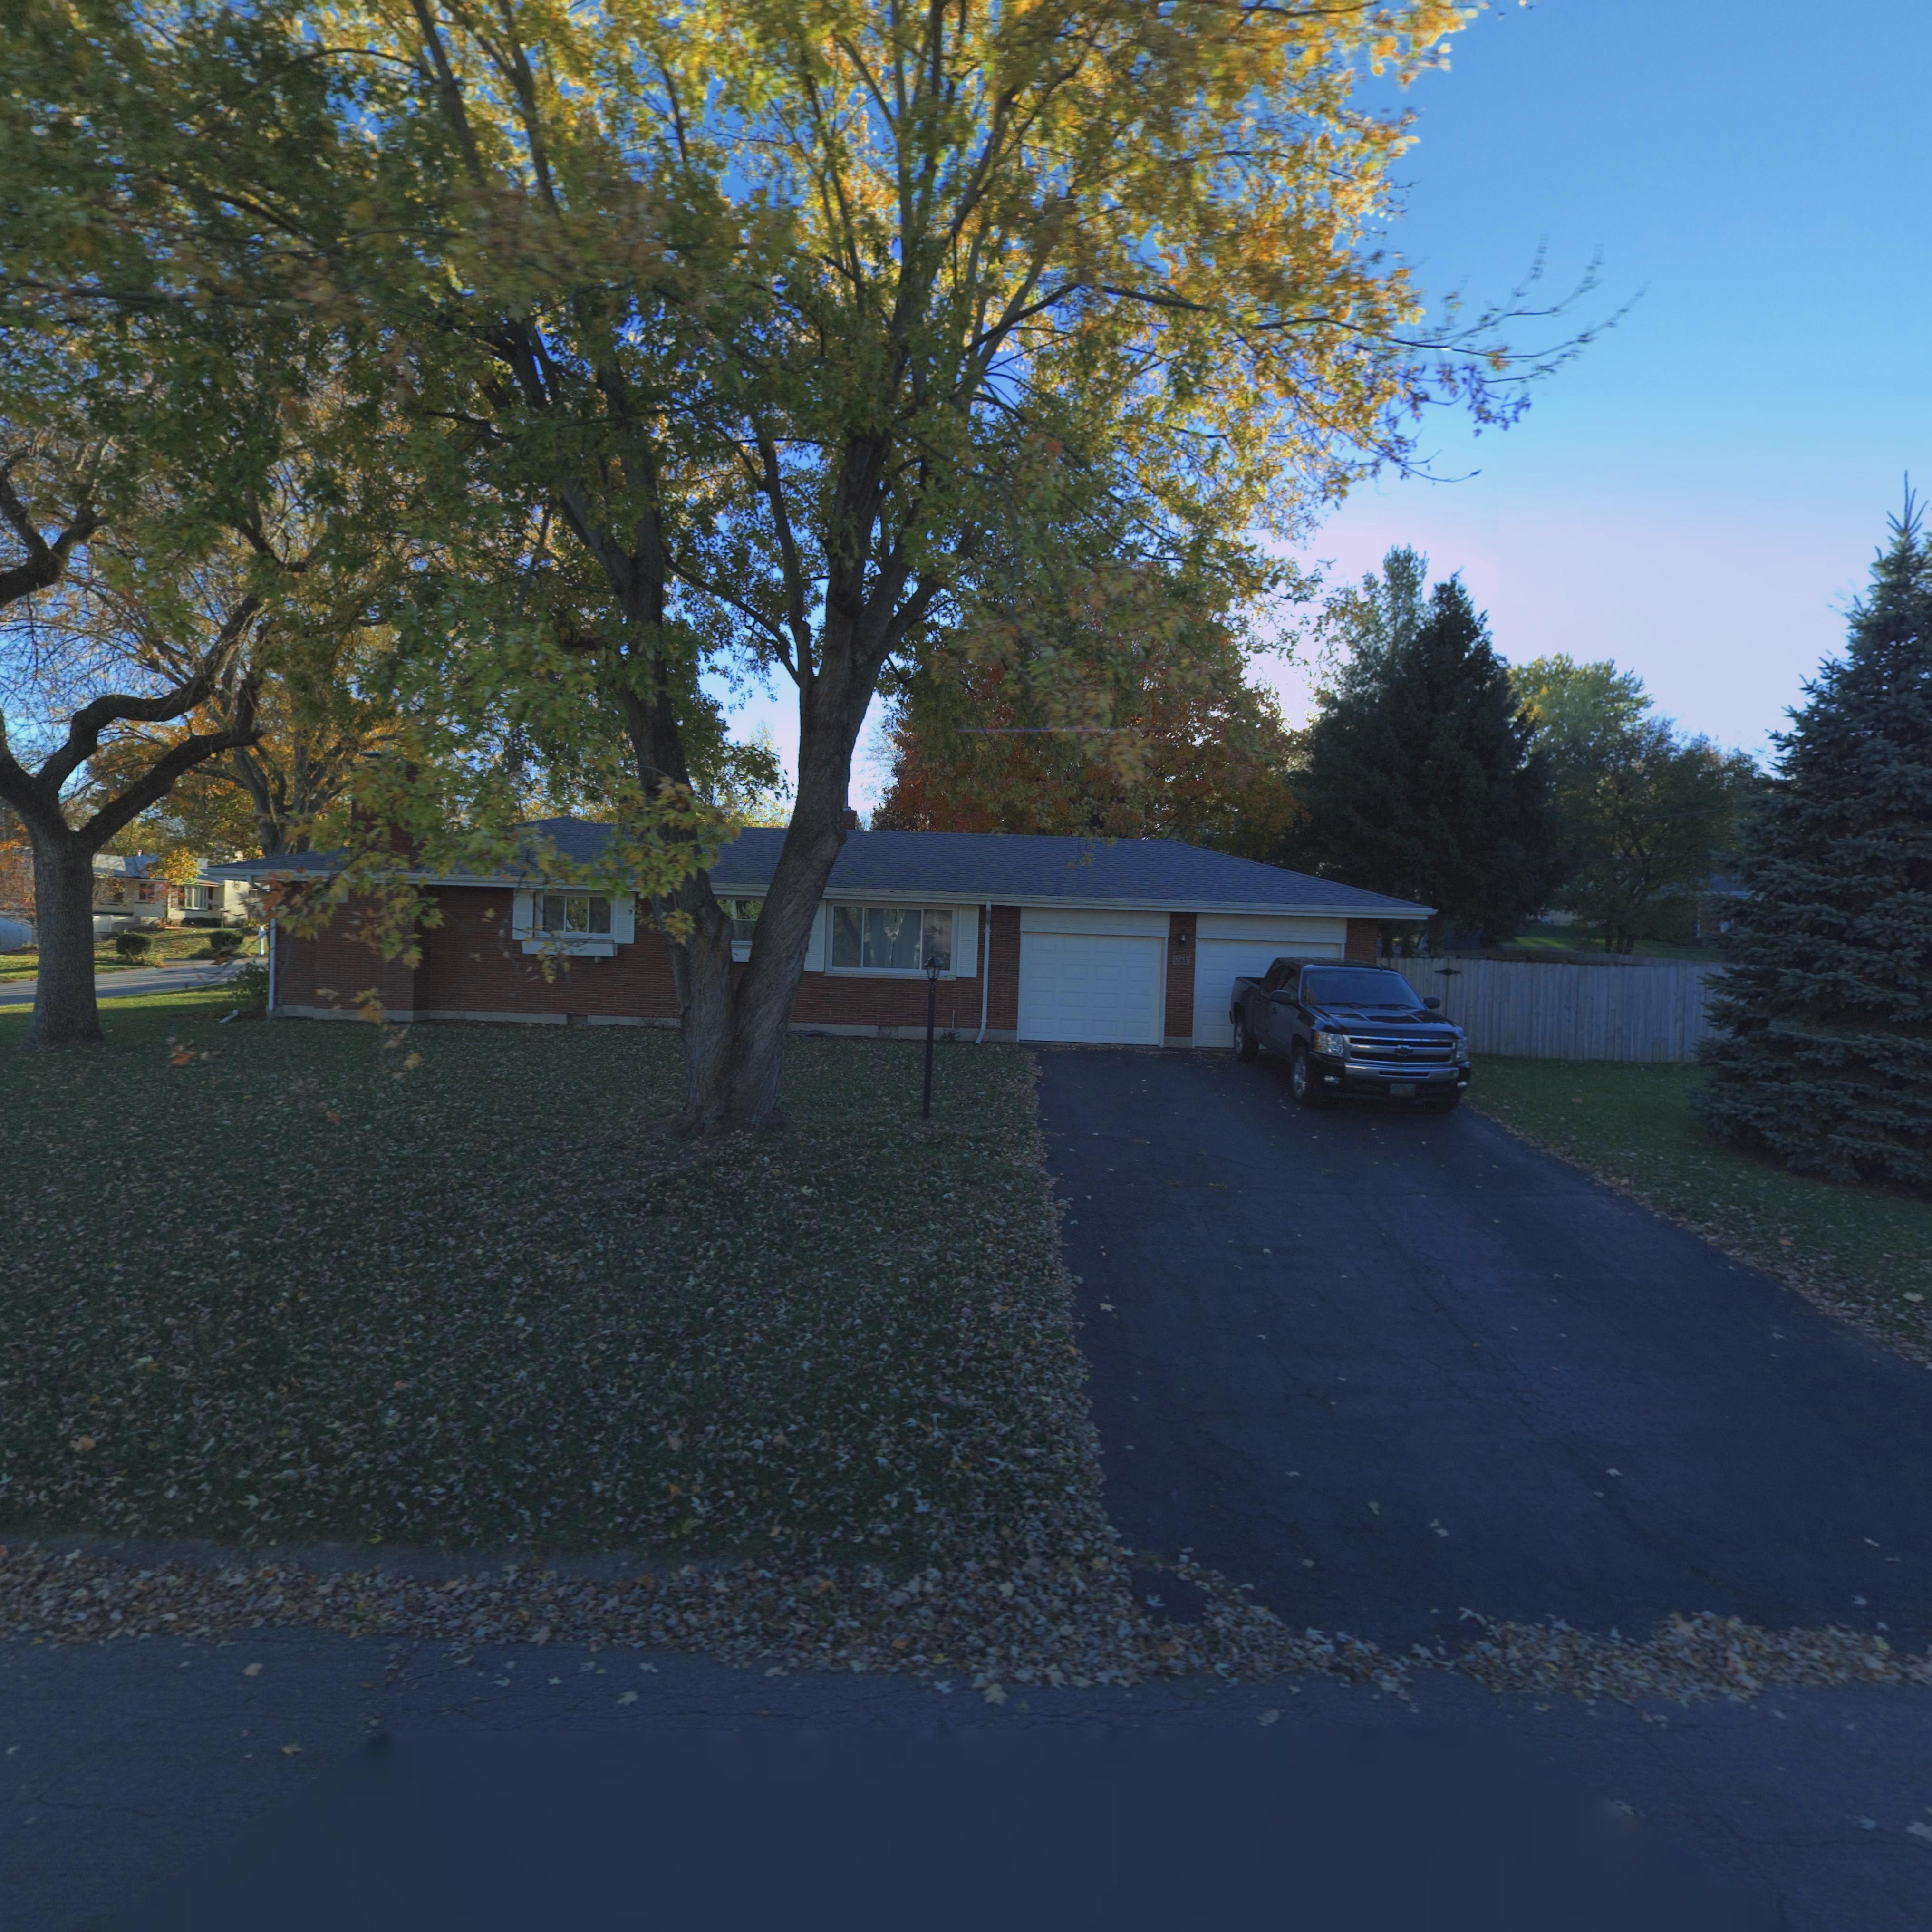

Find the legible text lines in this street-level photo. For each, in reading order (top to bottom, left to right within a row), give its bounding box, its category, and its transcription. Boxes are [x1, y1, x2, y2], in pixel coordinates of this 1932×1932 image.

[1173, 956, 1189, 964] StreetNumber: 5253